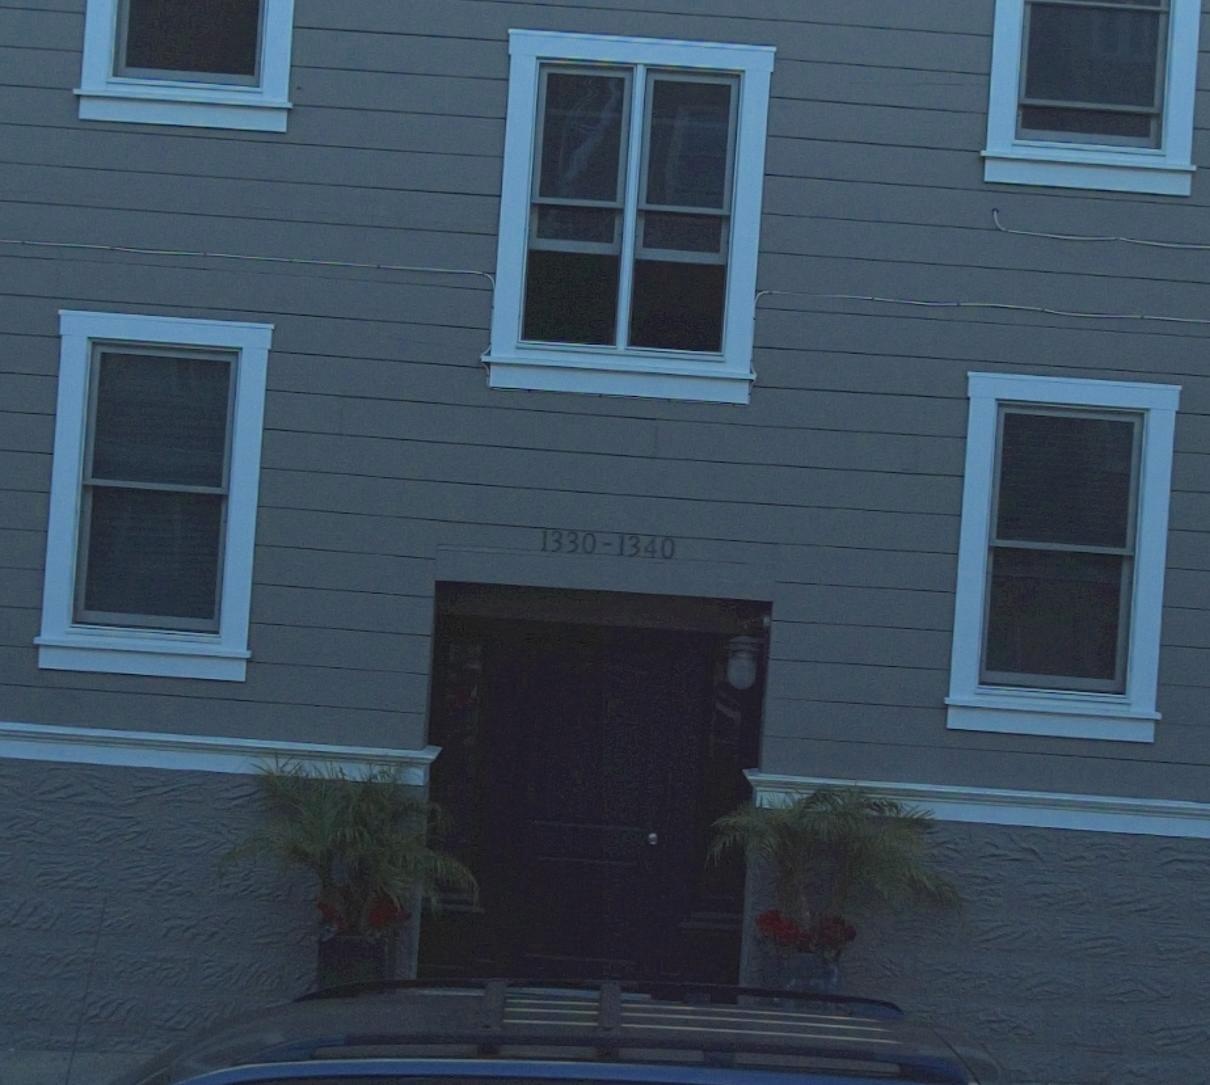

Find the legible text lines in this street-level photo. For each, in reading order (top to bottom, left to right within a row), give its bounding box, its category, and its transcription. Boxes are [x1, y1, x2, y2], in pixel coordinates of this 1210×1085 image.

[538, 528, 599, 555] StreetNumber: 1330
[617, 532, 677, 560] StreetNumber: 1340